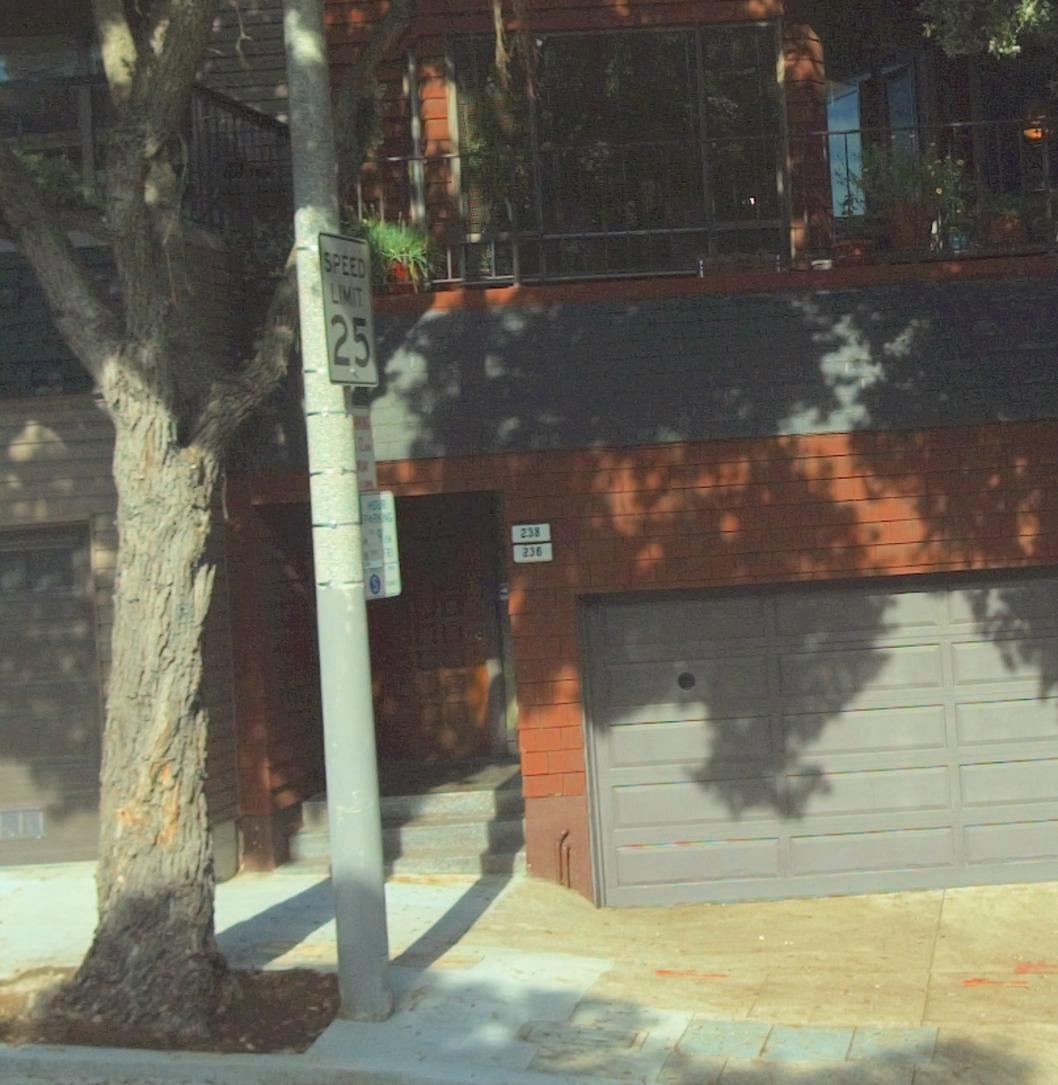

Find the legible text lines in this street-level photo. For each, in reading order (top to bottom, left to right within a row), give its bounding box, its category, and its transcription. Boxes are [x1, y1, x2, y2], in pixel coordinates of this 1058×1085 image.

[321, 251, 367, 280] None: SPEED
[327, 281, 365, 308] None: LIMIT
[329, 311, 373, 370] None: 25
[366, 499, 387, 511] None: HOUR
[361, 512, 394, 523] None: PARKING
[375, 529, 383, 545] None: 9
[519, 527, 543, 539] StreetNumber: 235
[521, 546, 542, 558] StreetNumber: 236